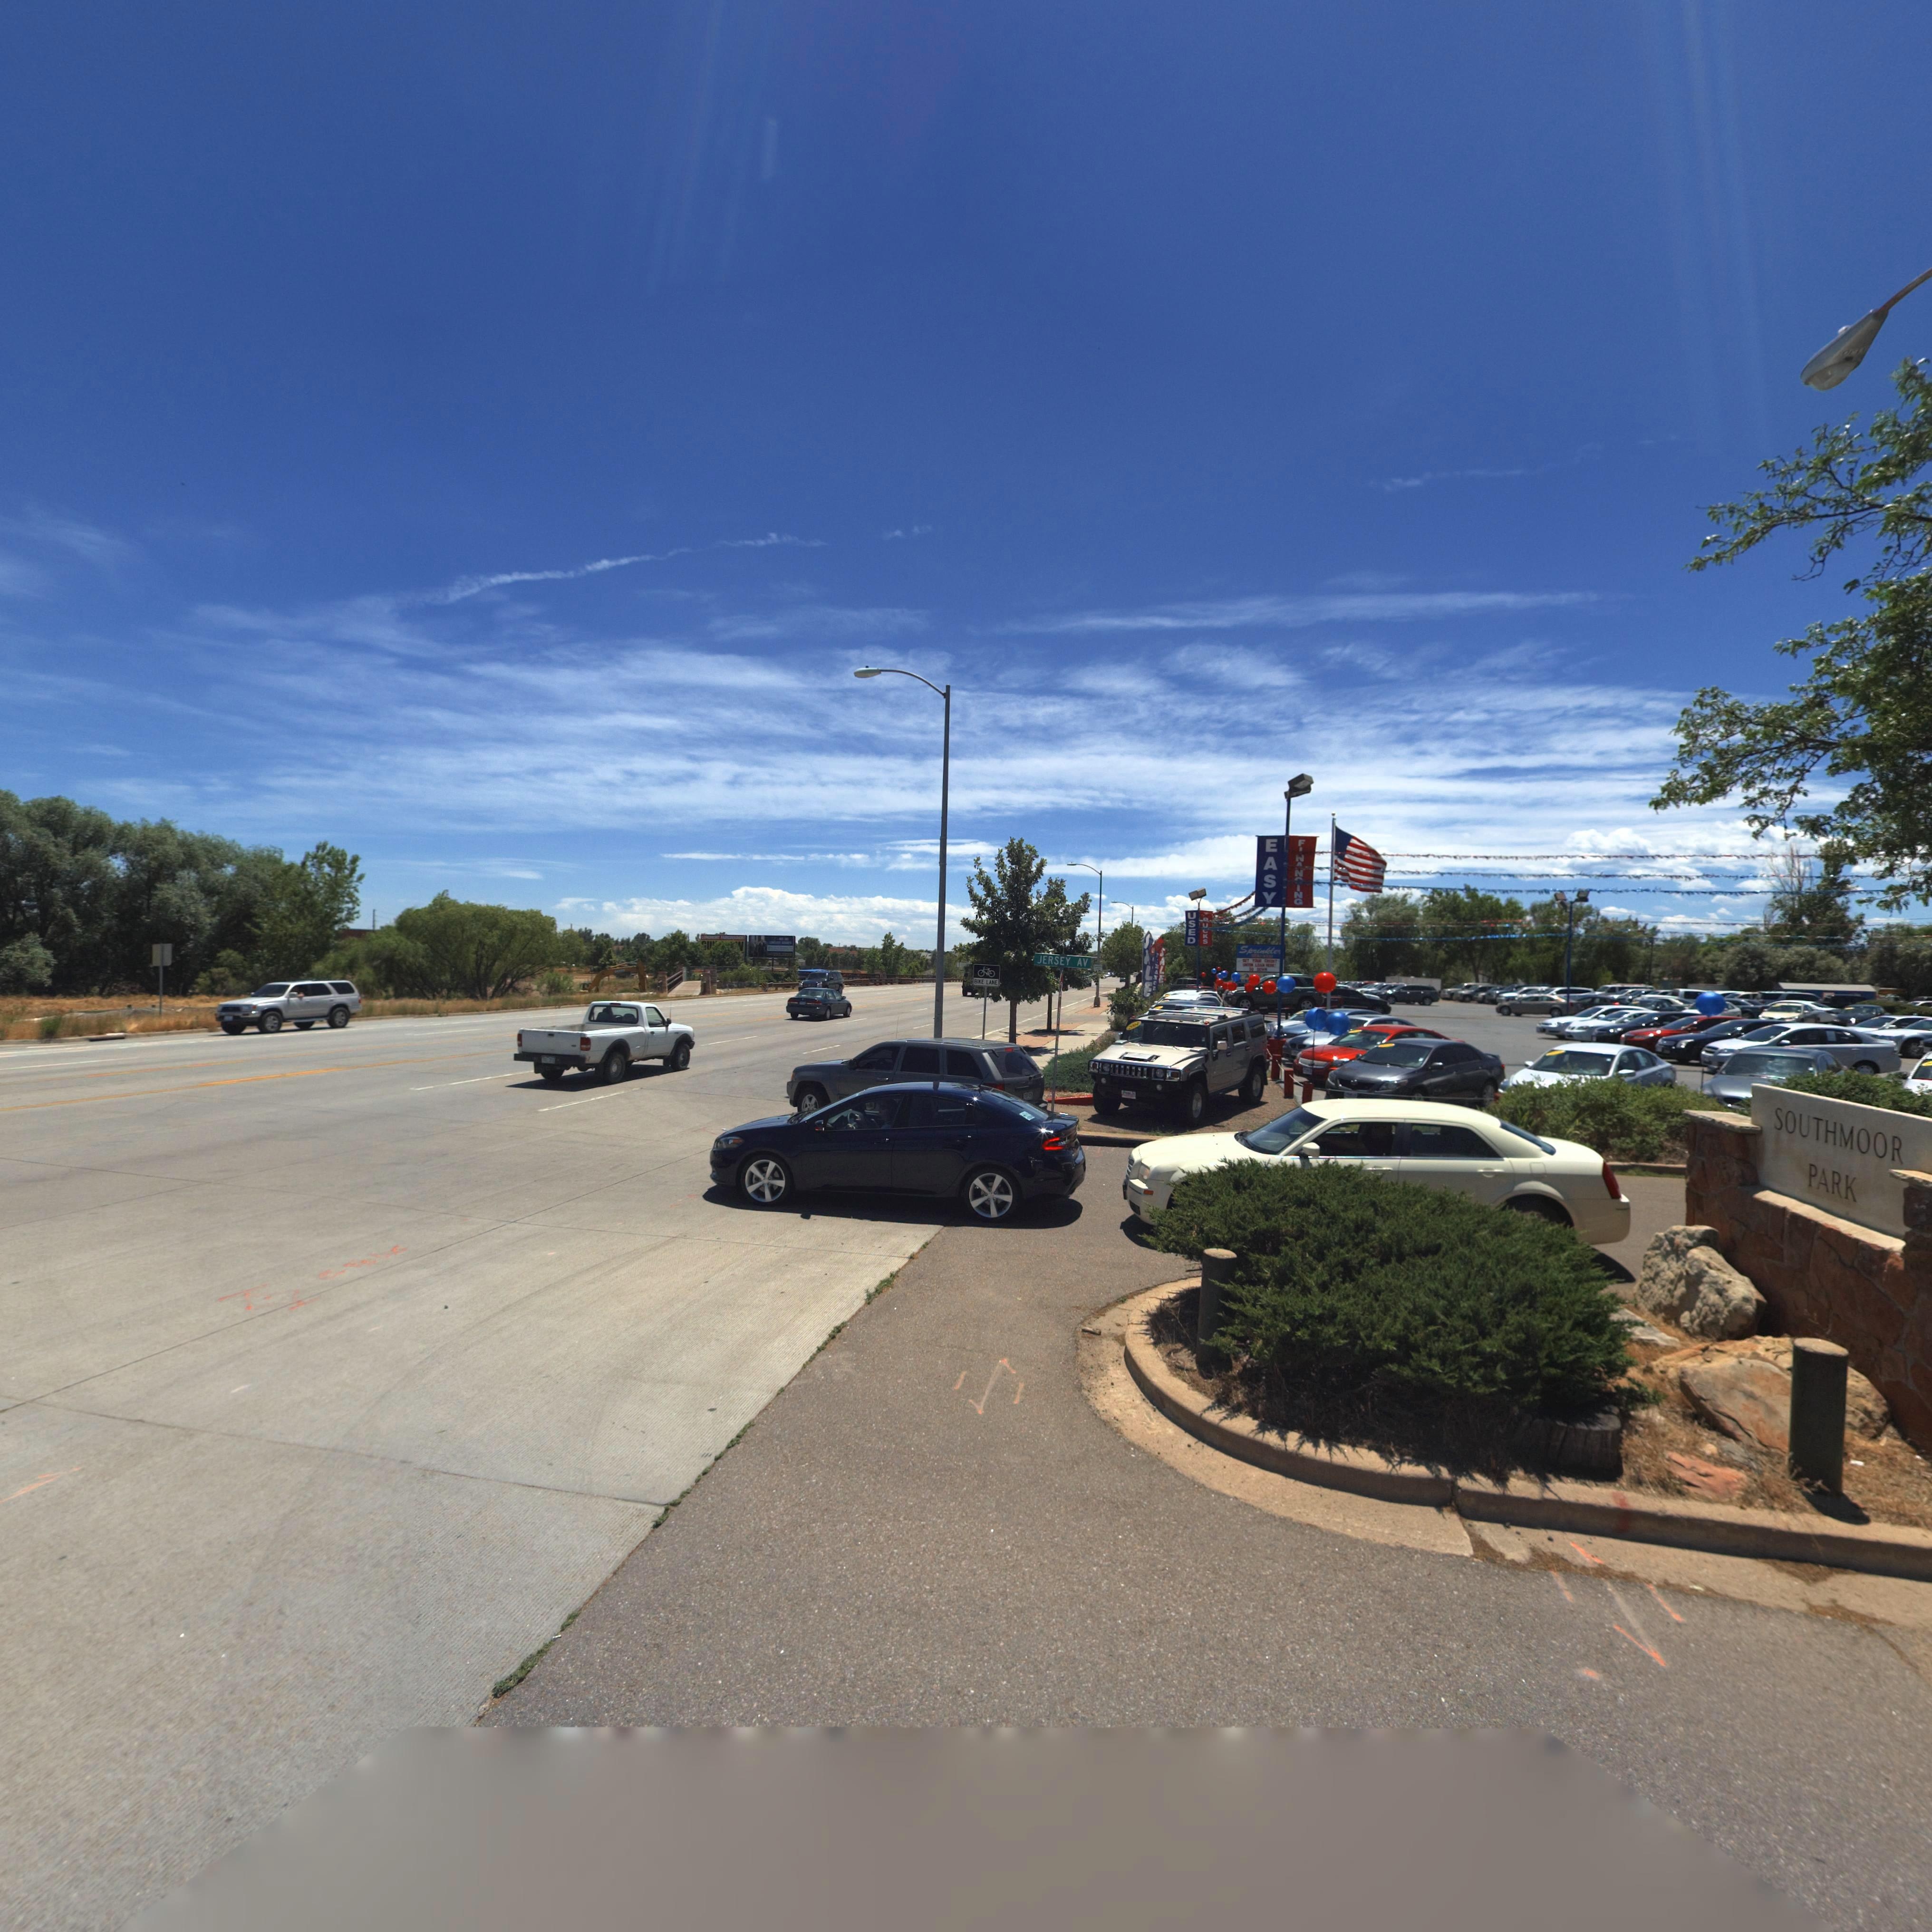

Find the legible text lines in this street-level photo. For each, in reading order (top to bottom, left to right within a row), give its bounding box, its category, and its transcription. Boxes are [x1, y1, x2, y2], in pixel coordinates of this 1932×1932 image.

[1238, 945, 1280, 955] BusinessName: Sprinkle*
[1036, 954, 1089, 967] StreetName: JERSEY AV